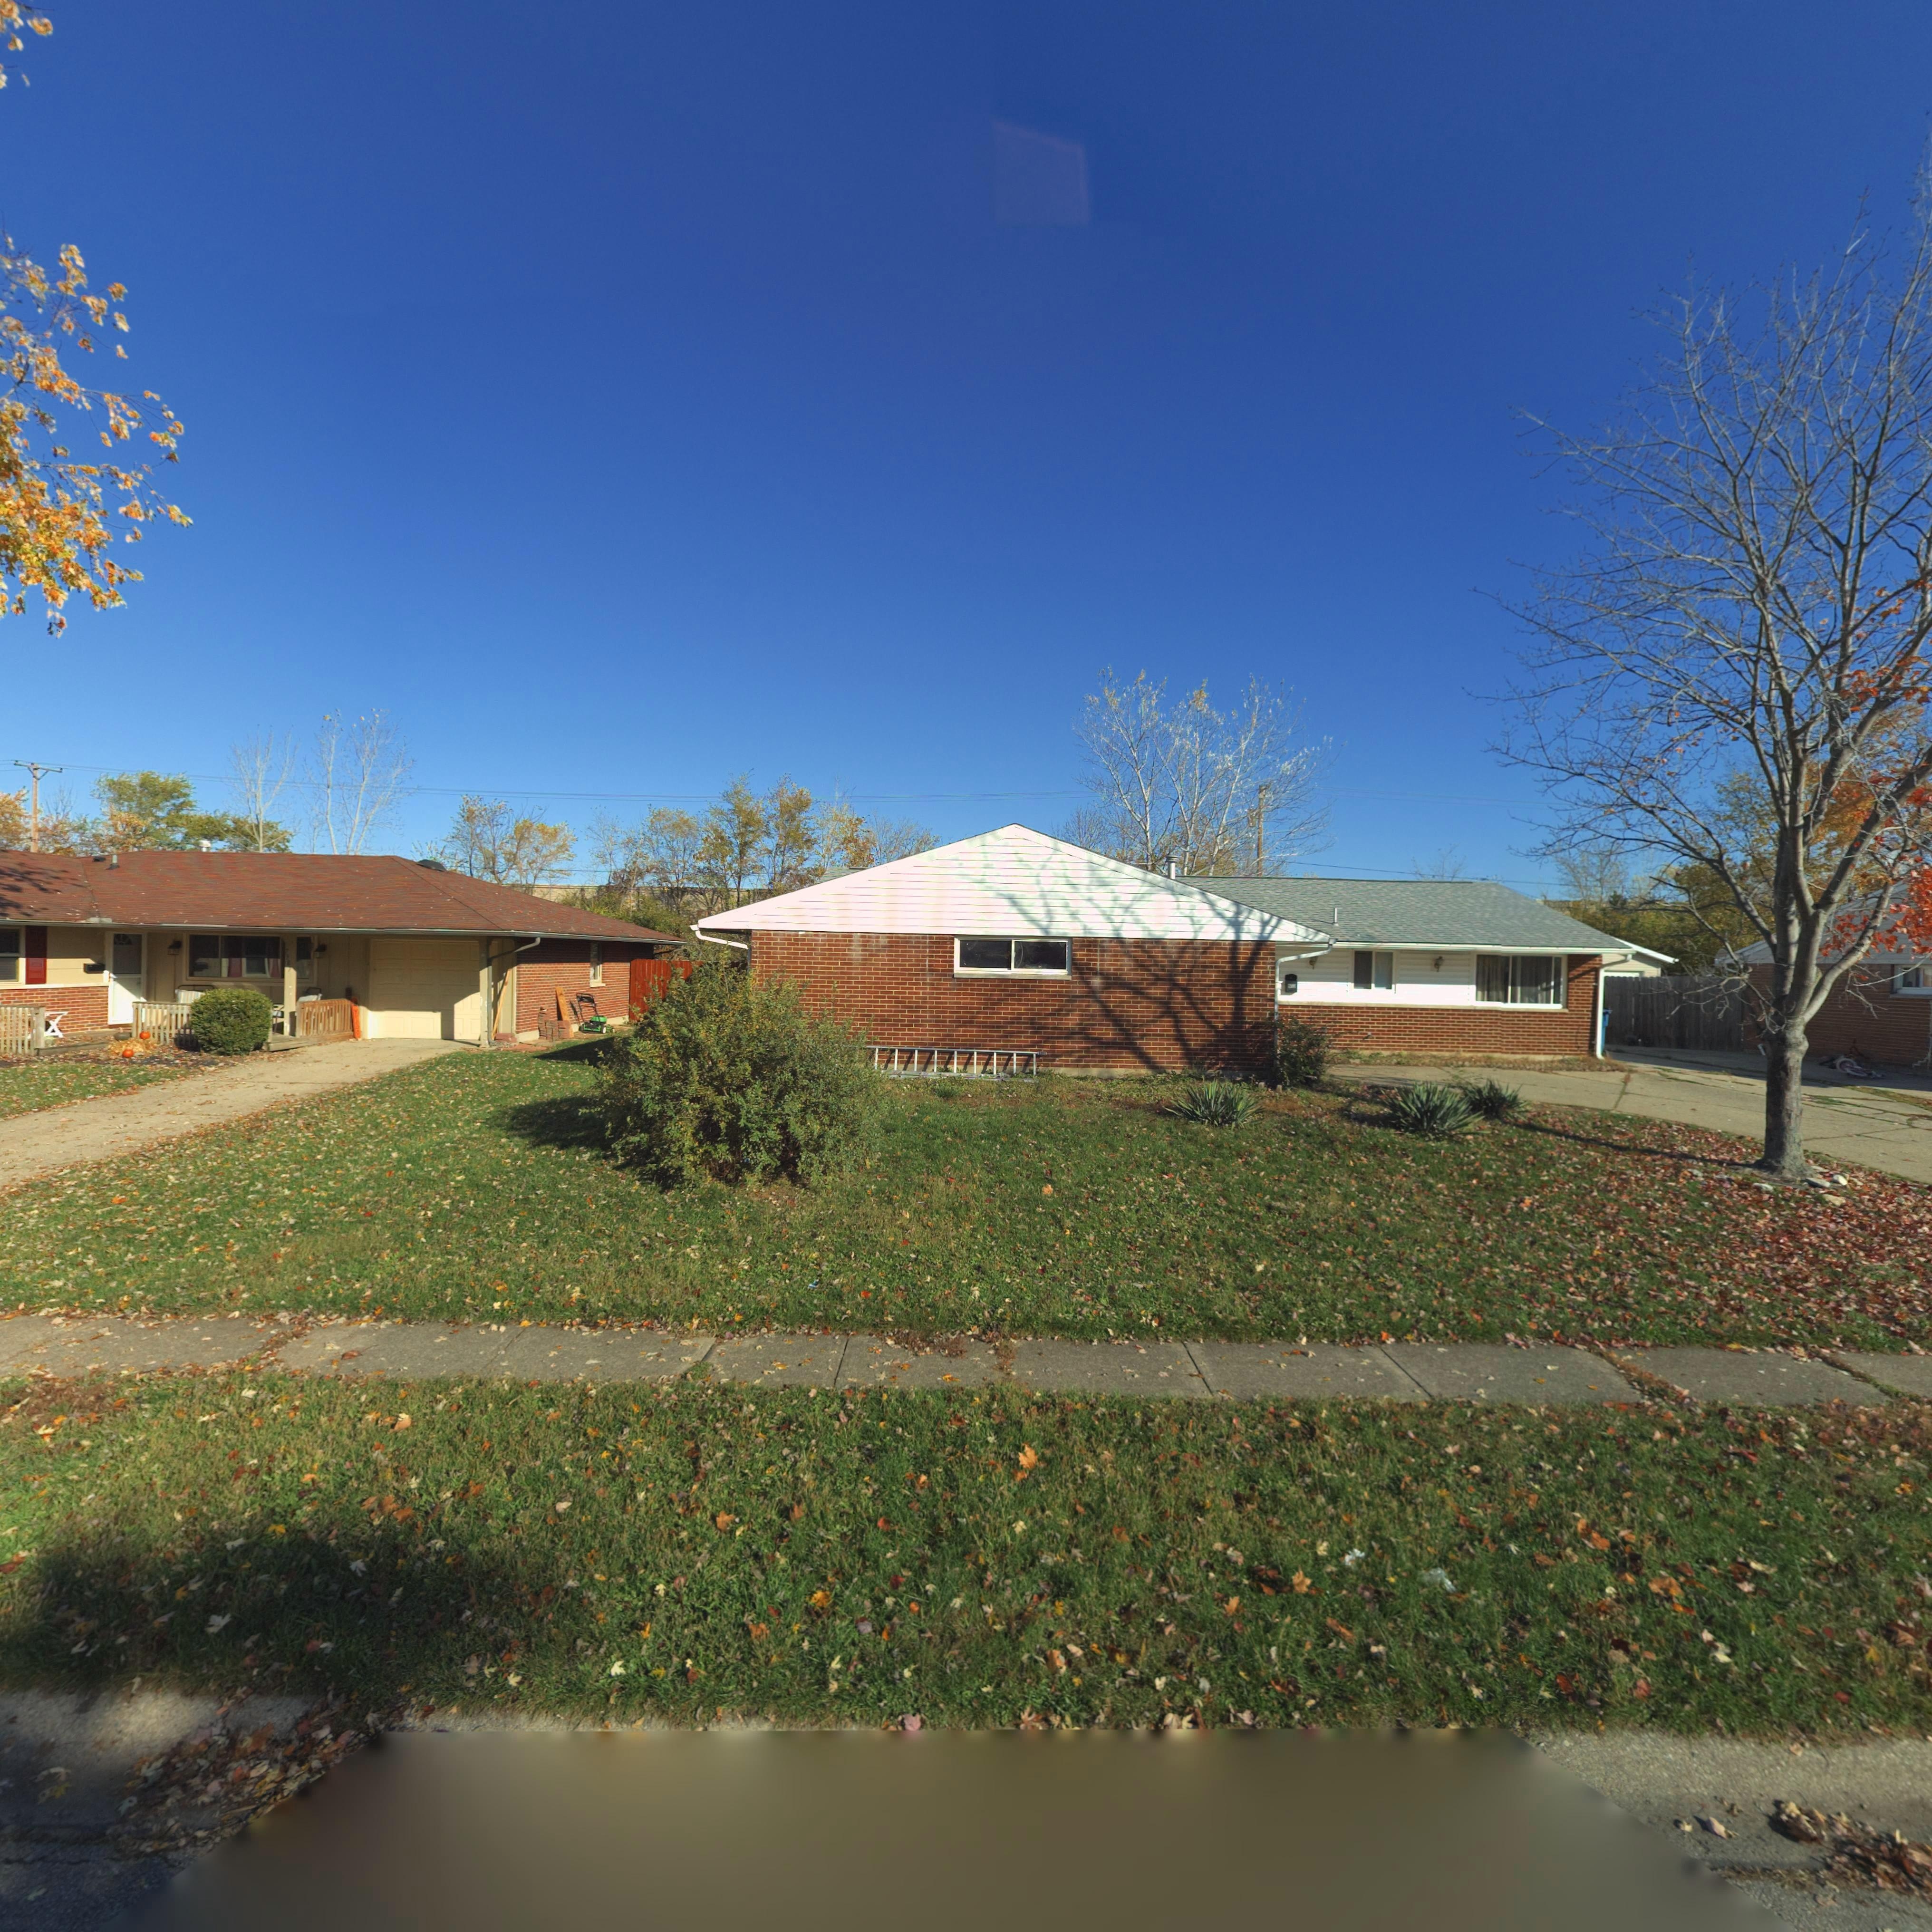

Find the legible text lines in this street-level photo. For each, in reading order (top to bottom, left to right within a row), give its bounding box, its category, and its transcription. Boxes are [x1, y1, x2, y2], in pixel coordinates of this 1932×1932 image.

[284, 948, 292, 973] StreetNumber: 7987
[1287, 984, 1296, 989] StreetNumber: 79**